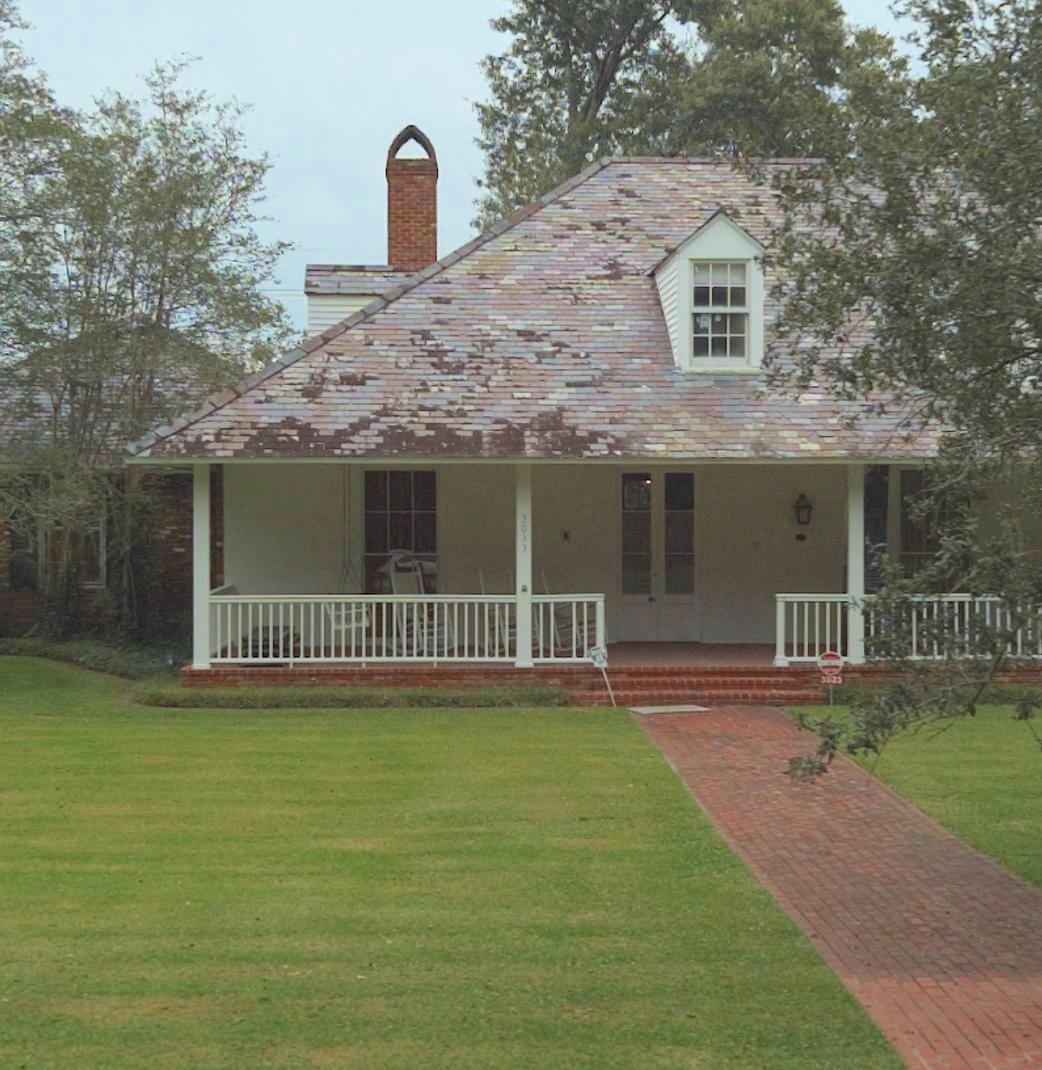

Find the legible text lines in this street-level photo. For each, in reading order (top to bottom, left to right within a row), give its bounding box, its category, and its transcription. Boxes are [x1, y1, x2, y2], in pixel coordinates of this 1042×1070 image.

[521, 512, 527, 553] StreetNumber: 3033